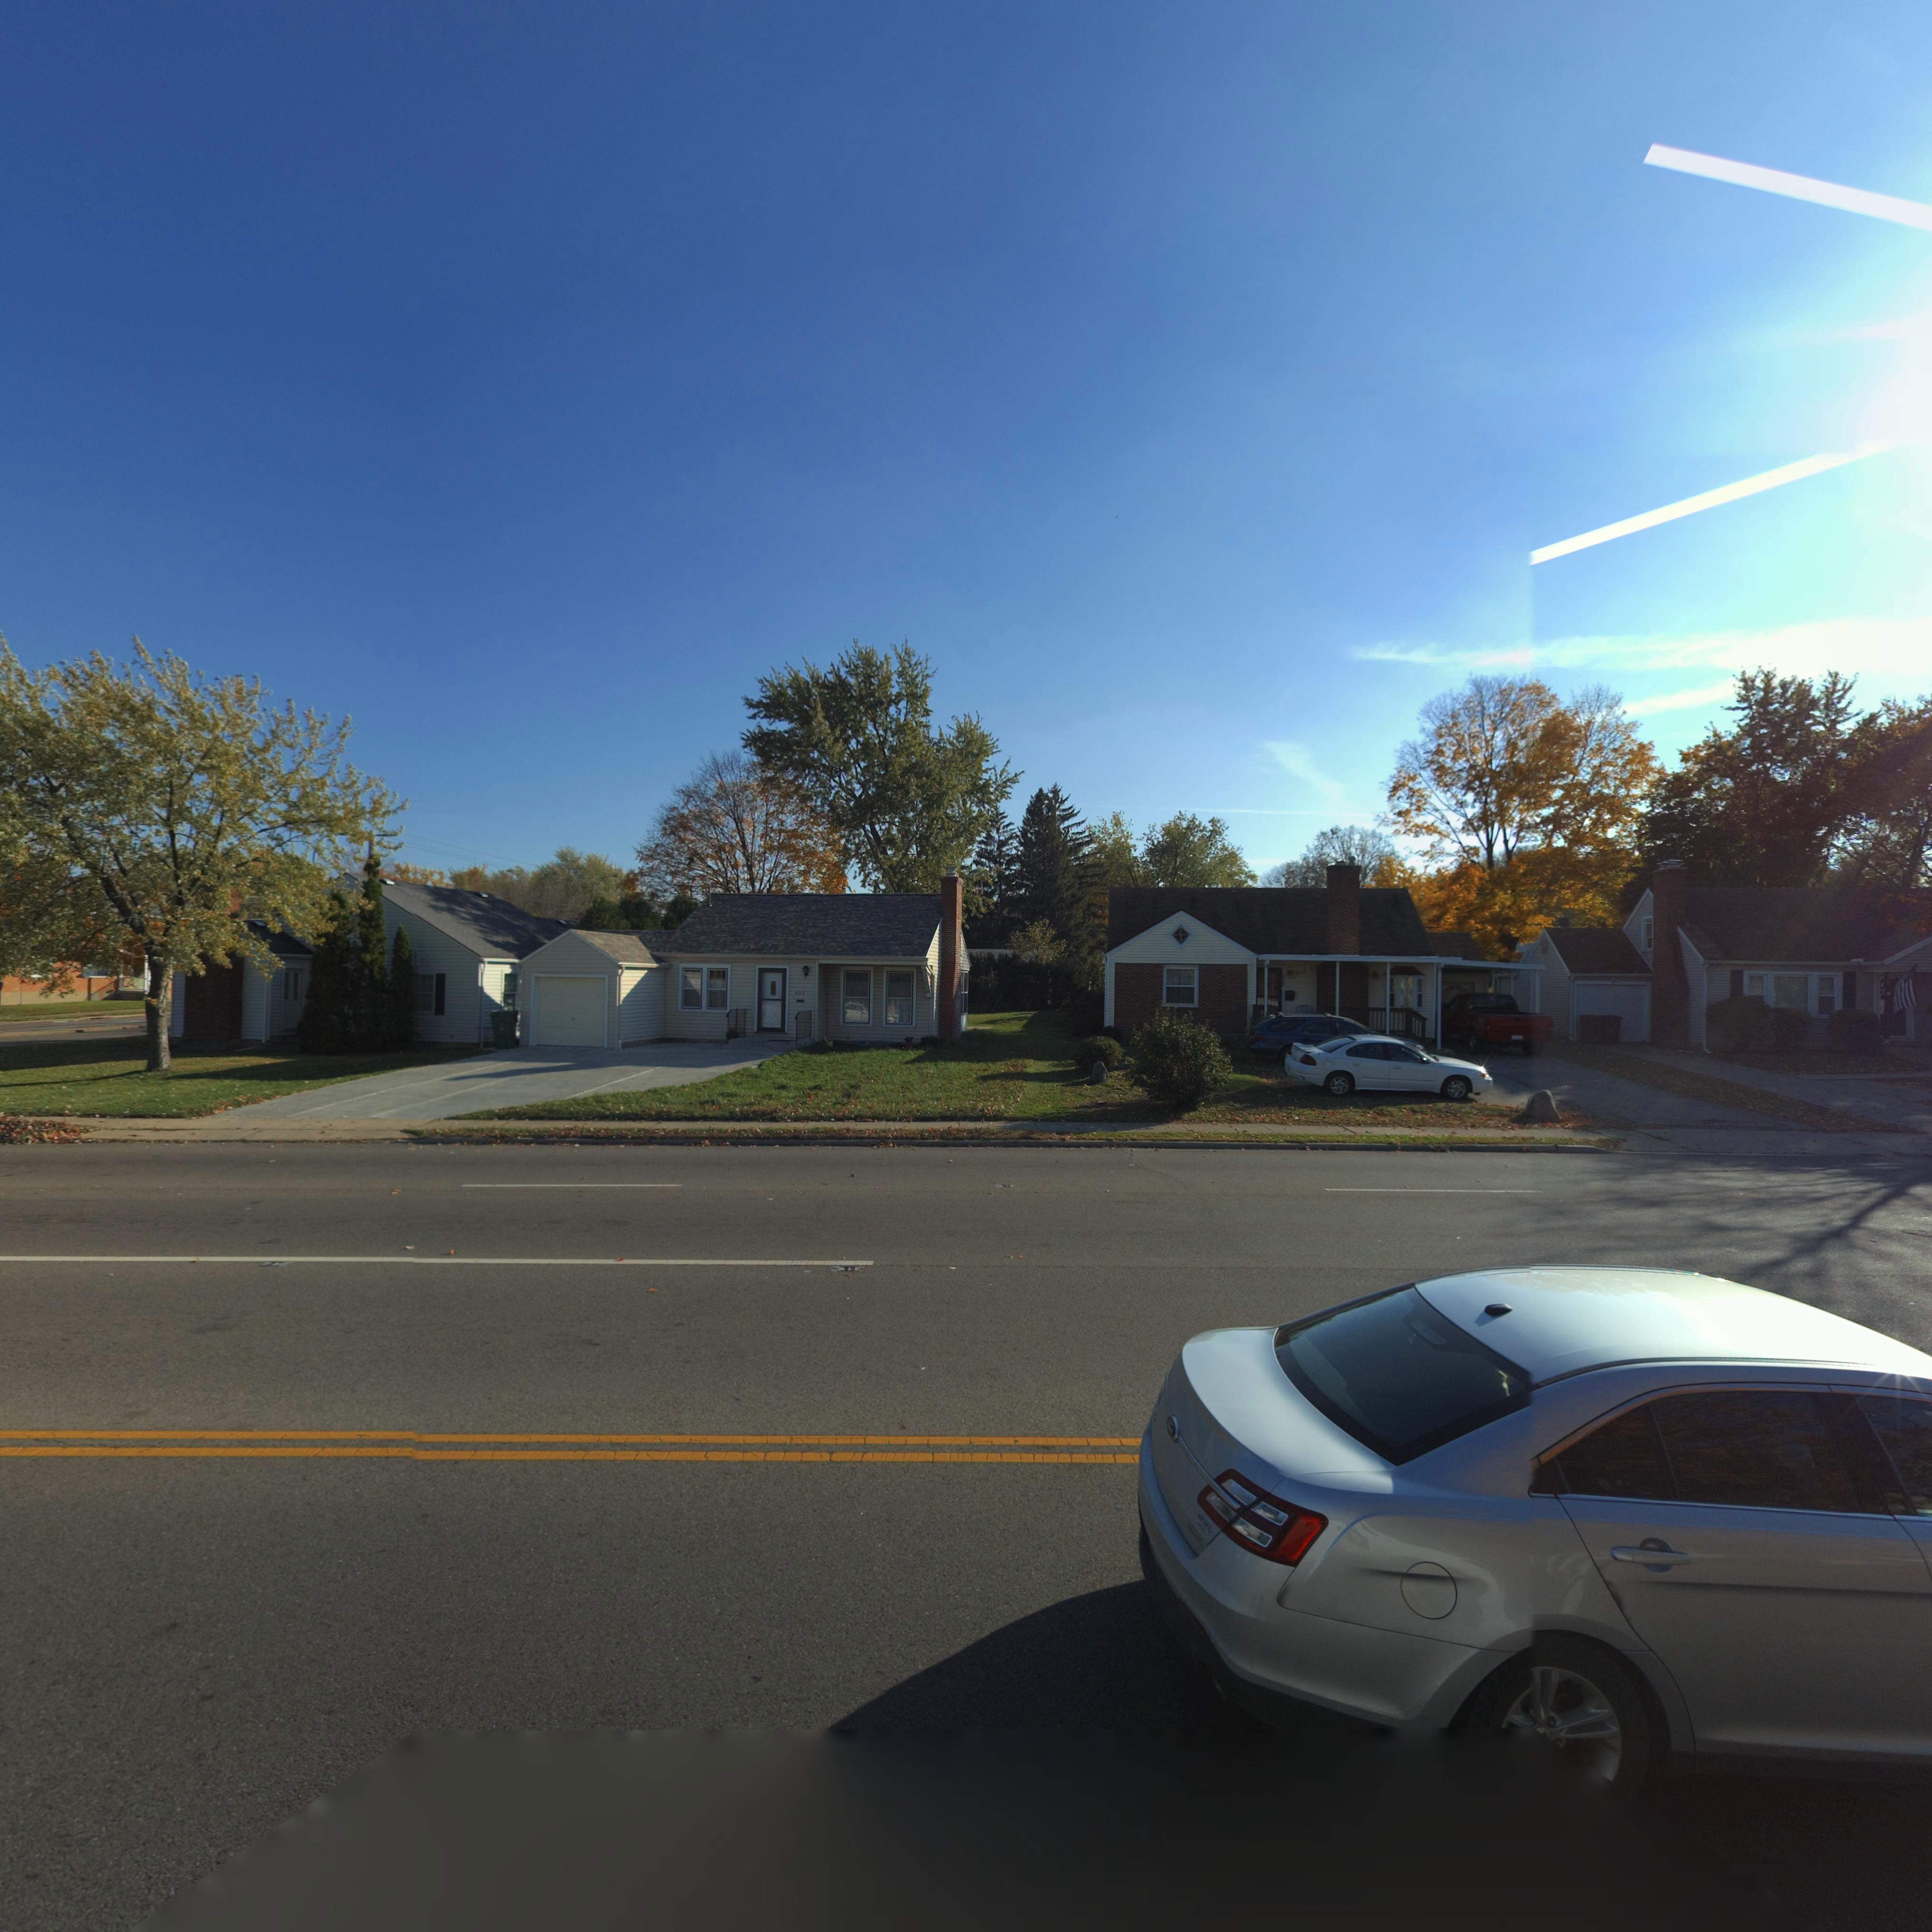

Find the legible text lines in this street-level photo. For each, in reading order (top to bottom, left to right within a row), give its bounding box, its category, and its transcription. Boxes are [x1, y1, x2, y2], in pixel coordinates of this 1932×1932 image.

[1281, 973, 1285, 986] StreetNumber: 4**
[794, 990, 805, 995] StreetNumber: *36